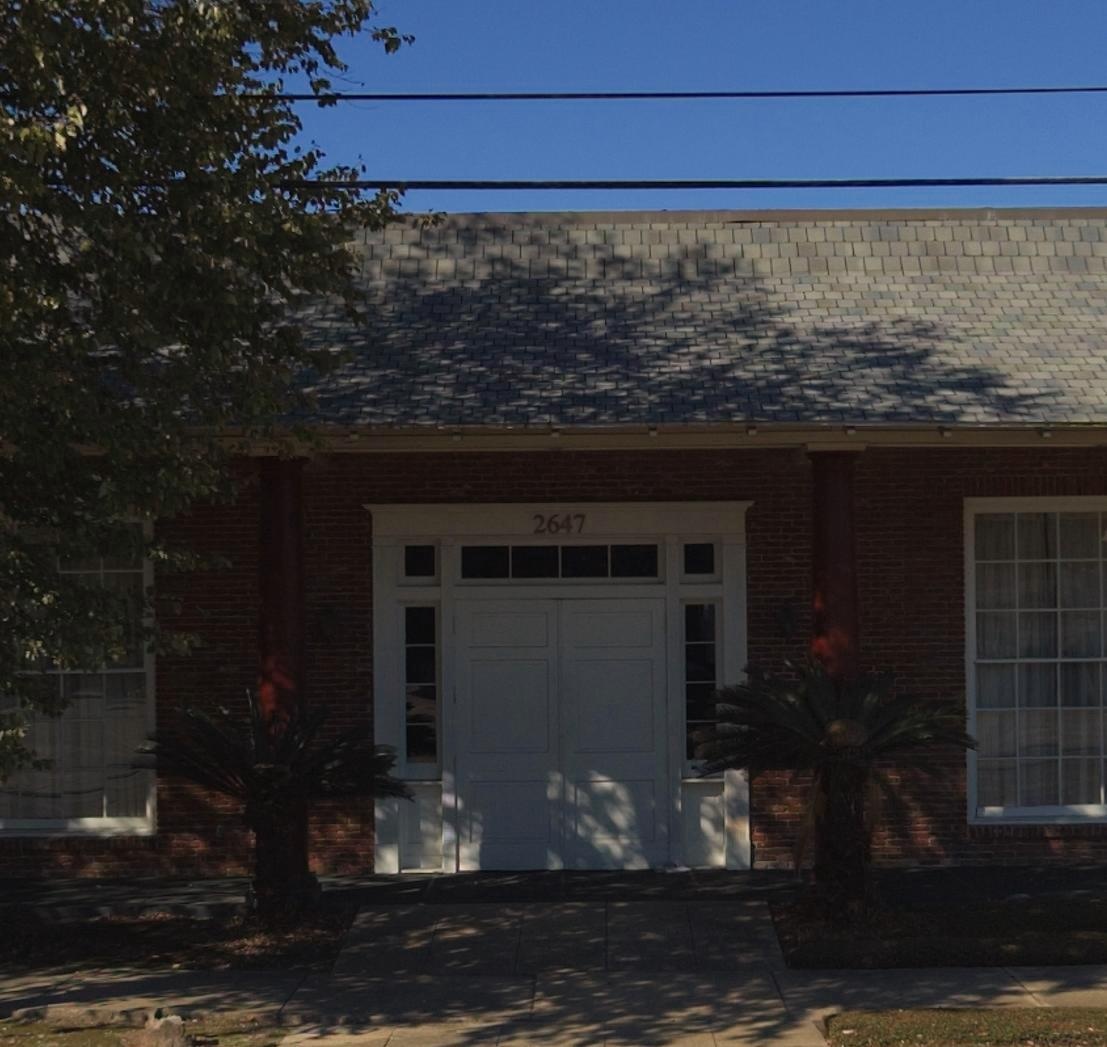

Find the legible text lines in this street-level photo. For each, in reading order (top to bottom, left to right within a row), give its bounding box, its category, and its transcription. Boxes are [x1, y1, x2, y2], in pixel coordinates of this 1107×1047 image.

[530, 511, 588, 536] StreetNumber: 2647